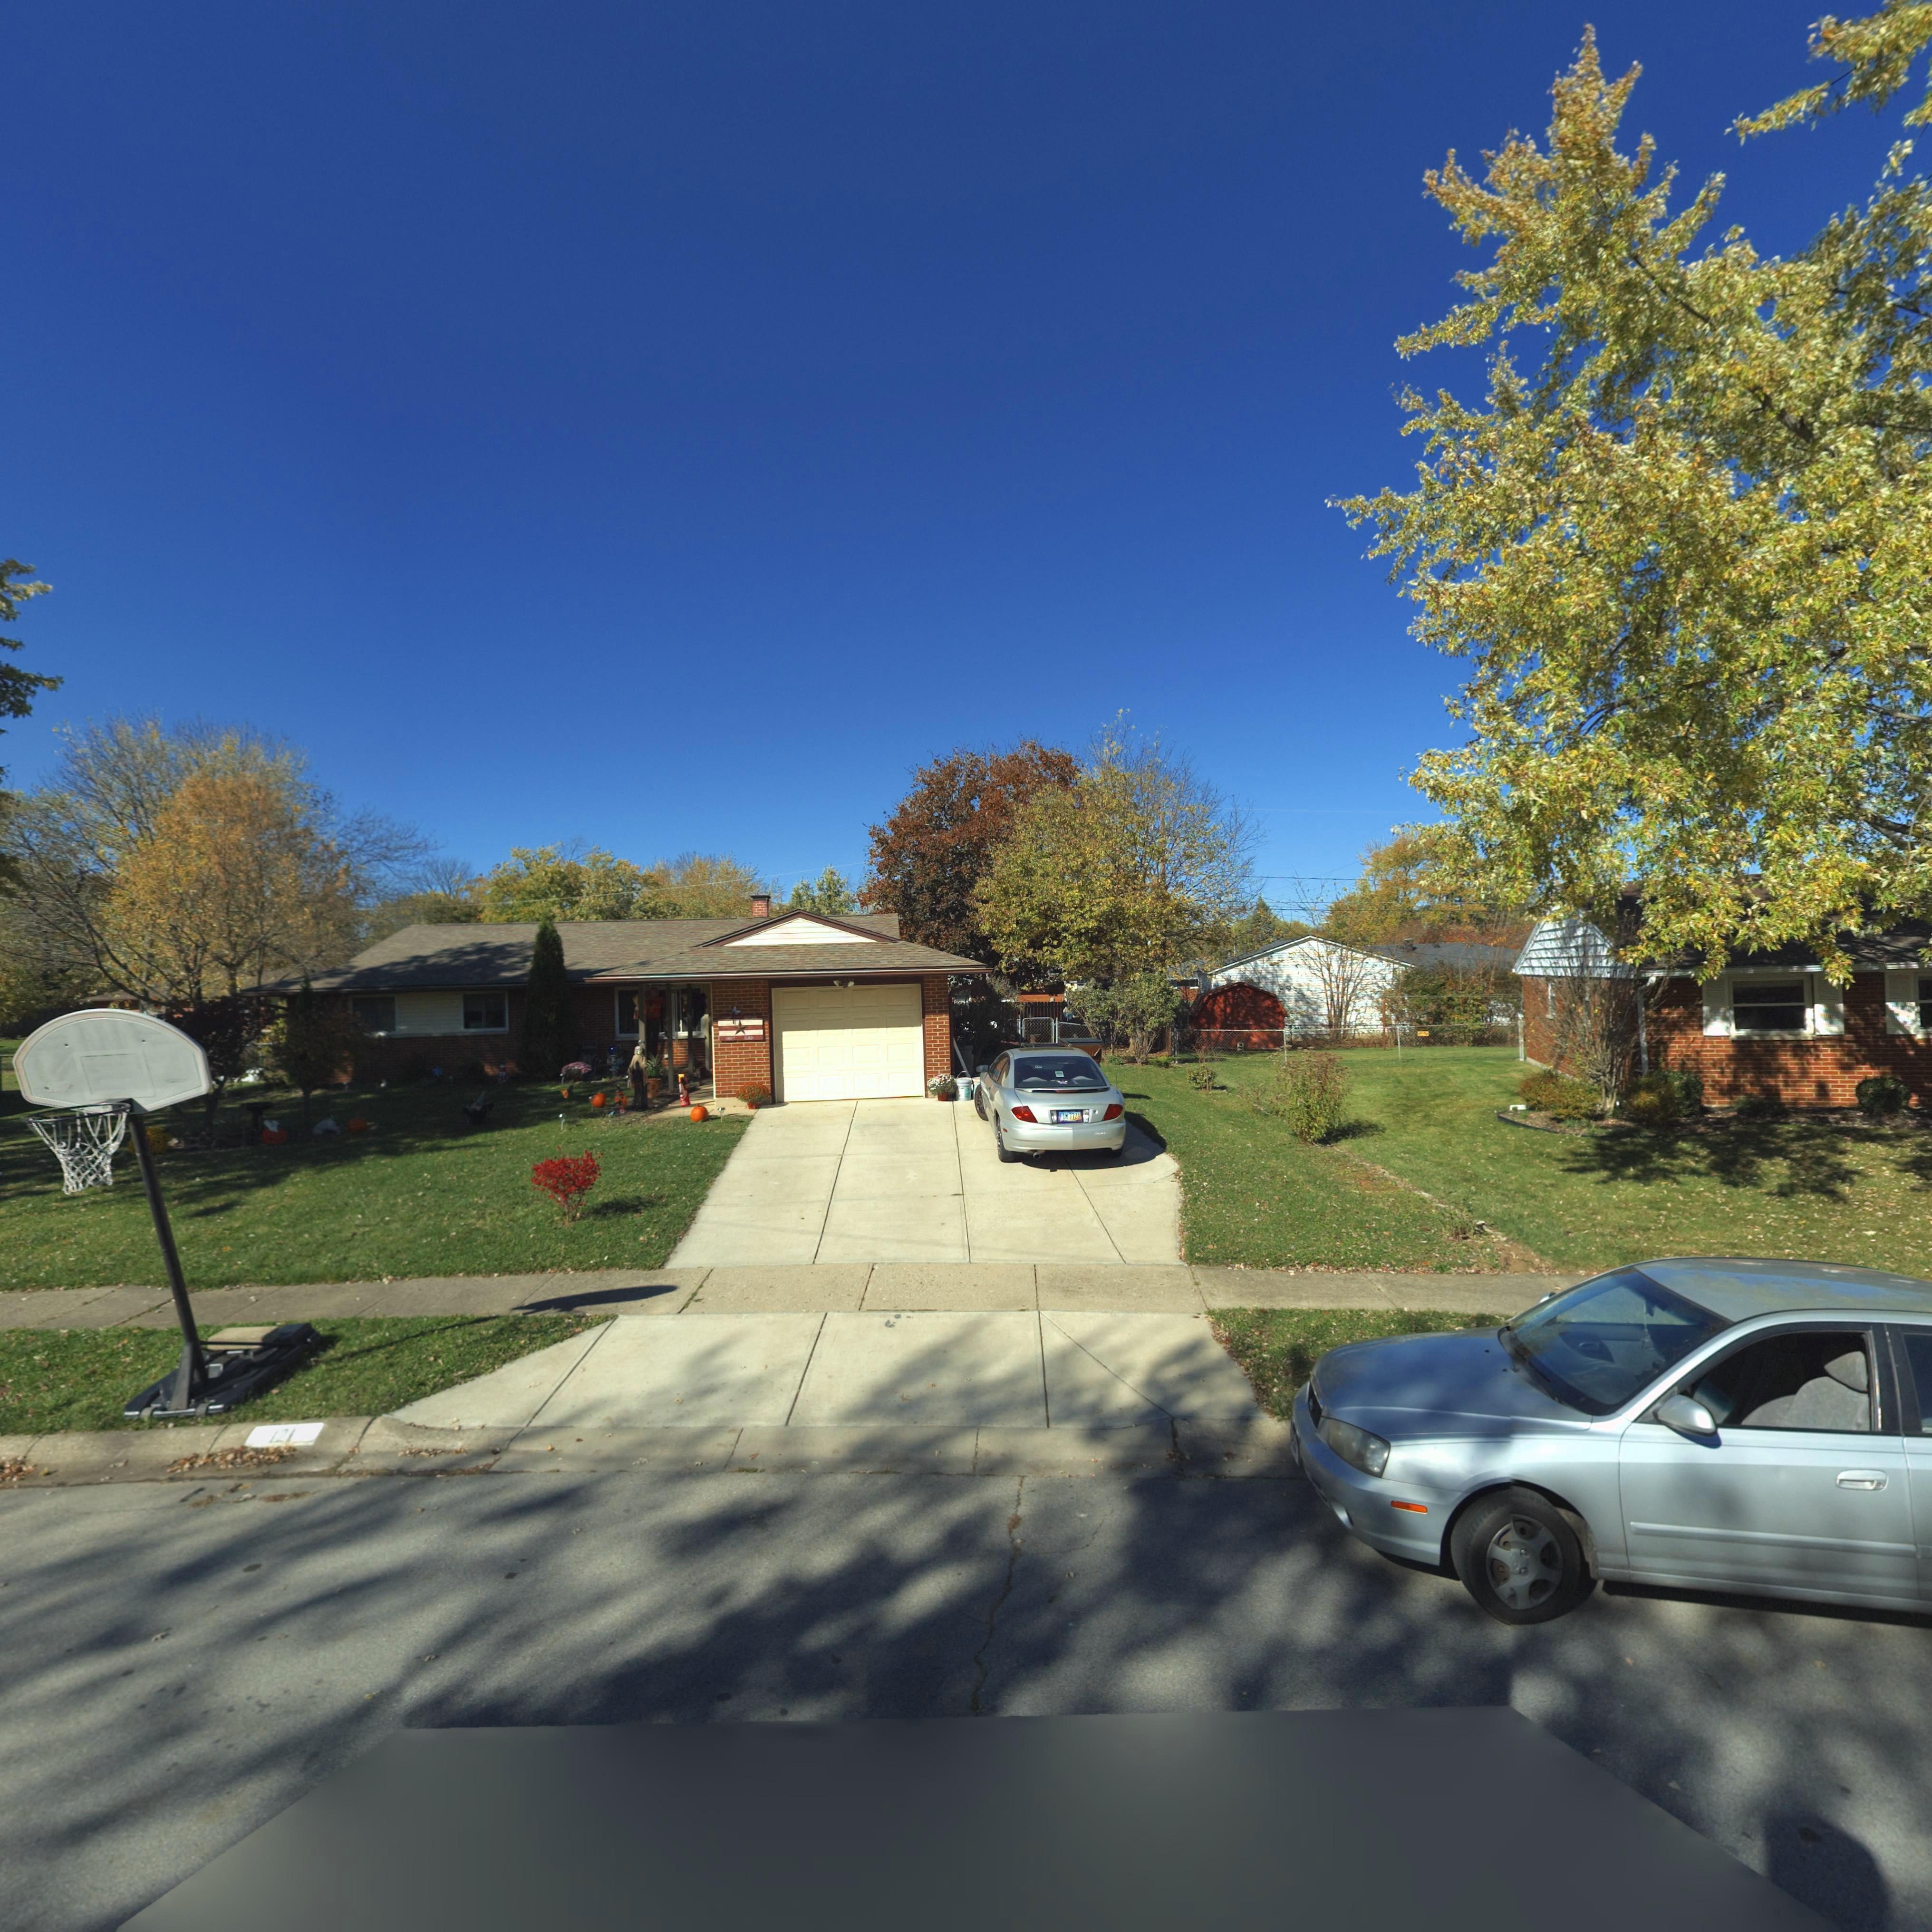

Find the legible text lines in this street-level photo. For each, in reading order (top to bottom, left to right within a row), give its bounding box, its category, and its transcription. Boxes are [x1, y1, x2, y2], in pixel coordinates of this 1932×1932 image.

[268, 1427, 298, 1444] StreetNumber: 121